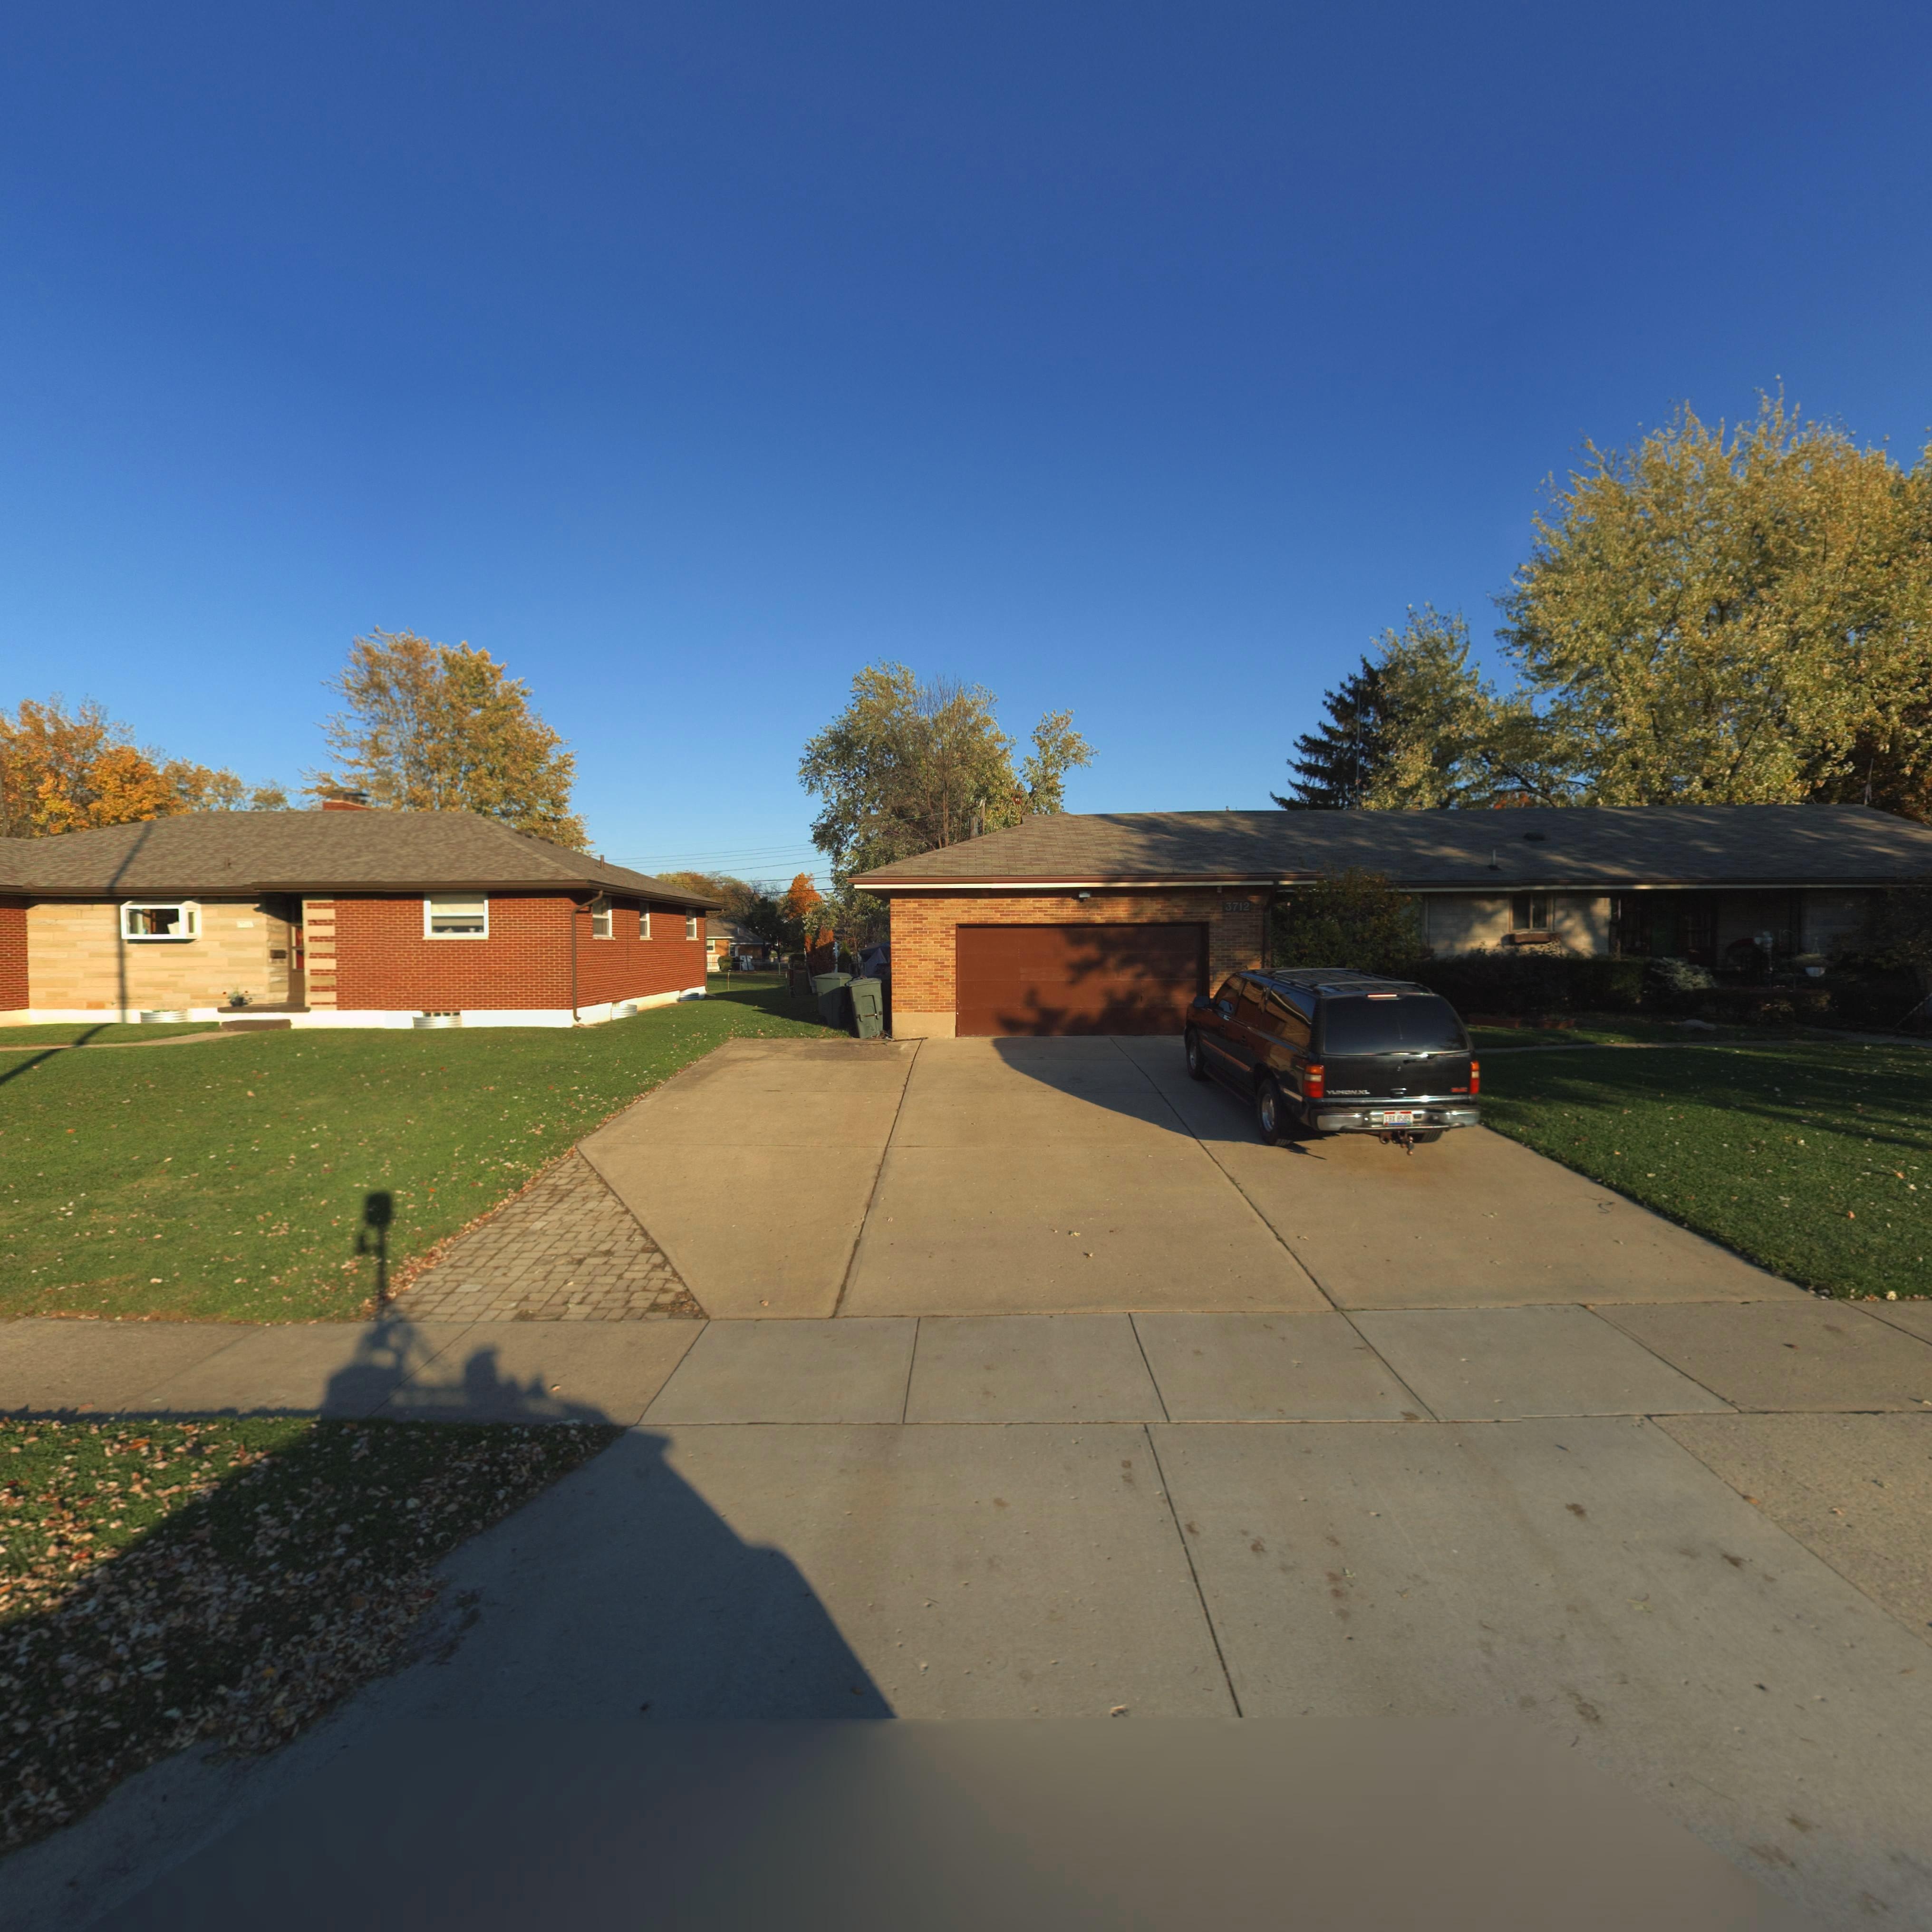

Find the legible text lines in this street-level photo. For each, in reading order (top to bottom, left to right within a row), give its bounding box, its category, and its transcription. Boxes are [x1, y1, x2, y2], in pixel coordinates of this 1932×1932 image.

[1224, 901, 1250, 911] StreetNumber: 3712